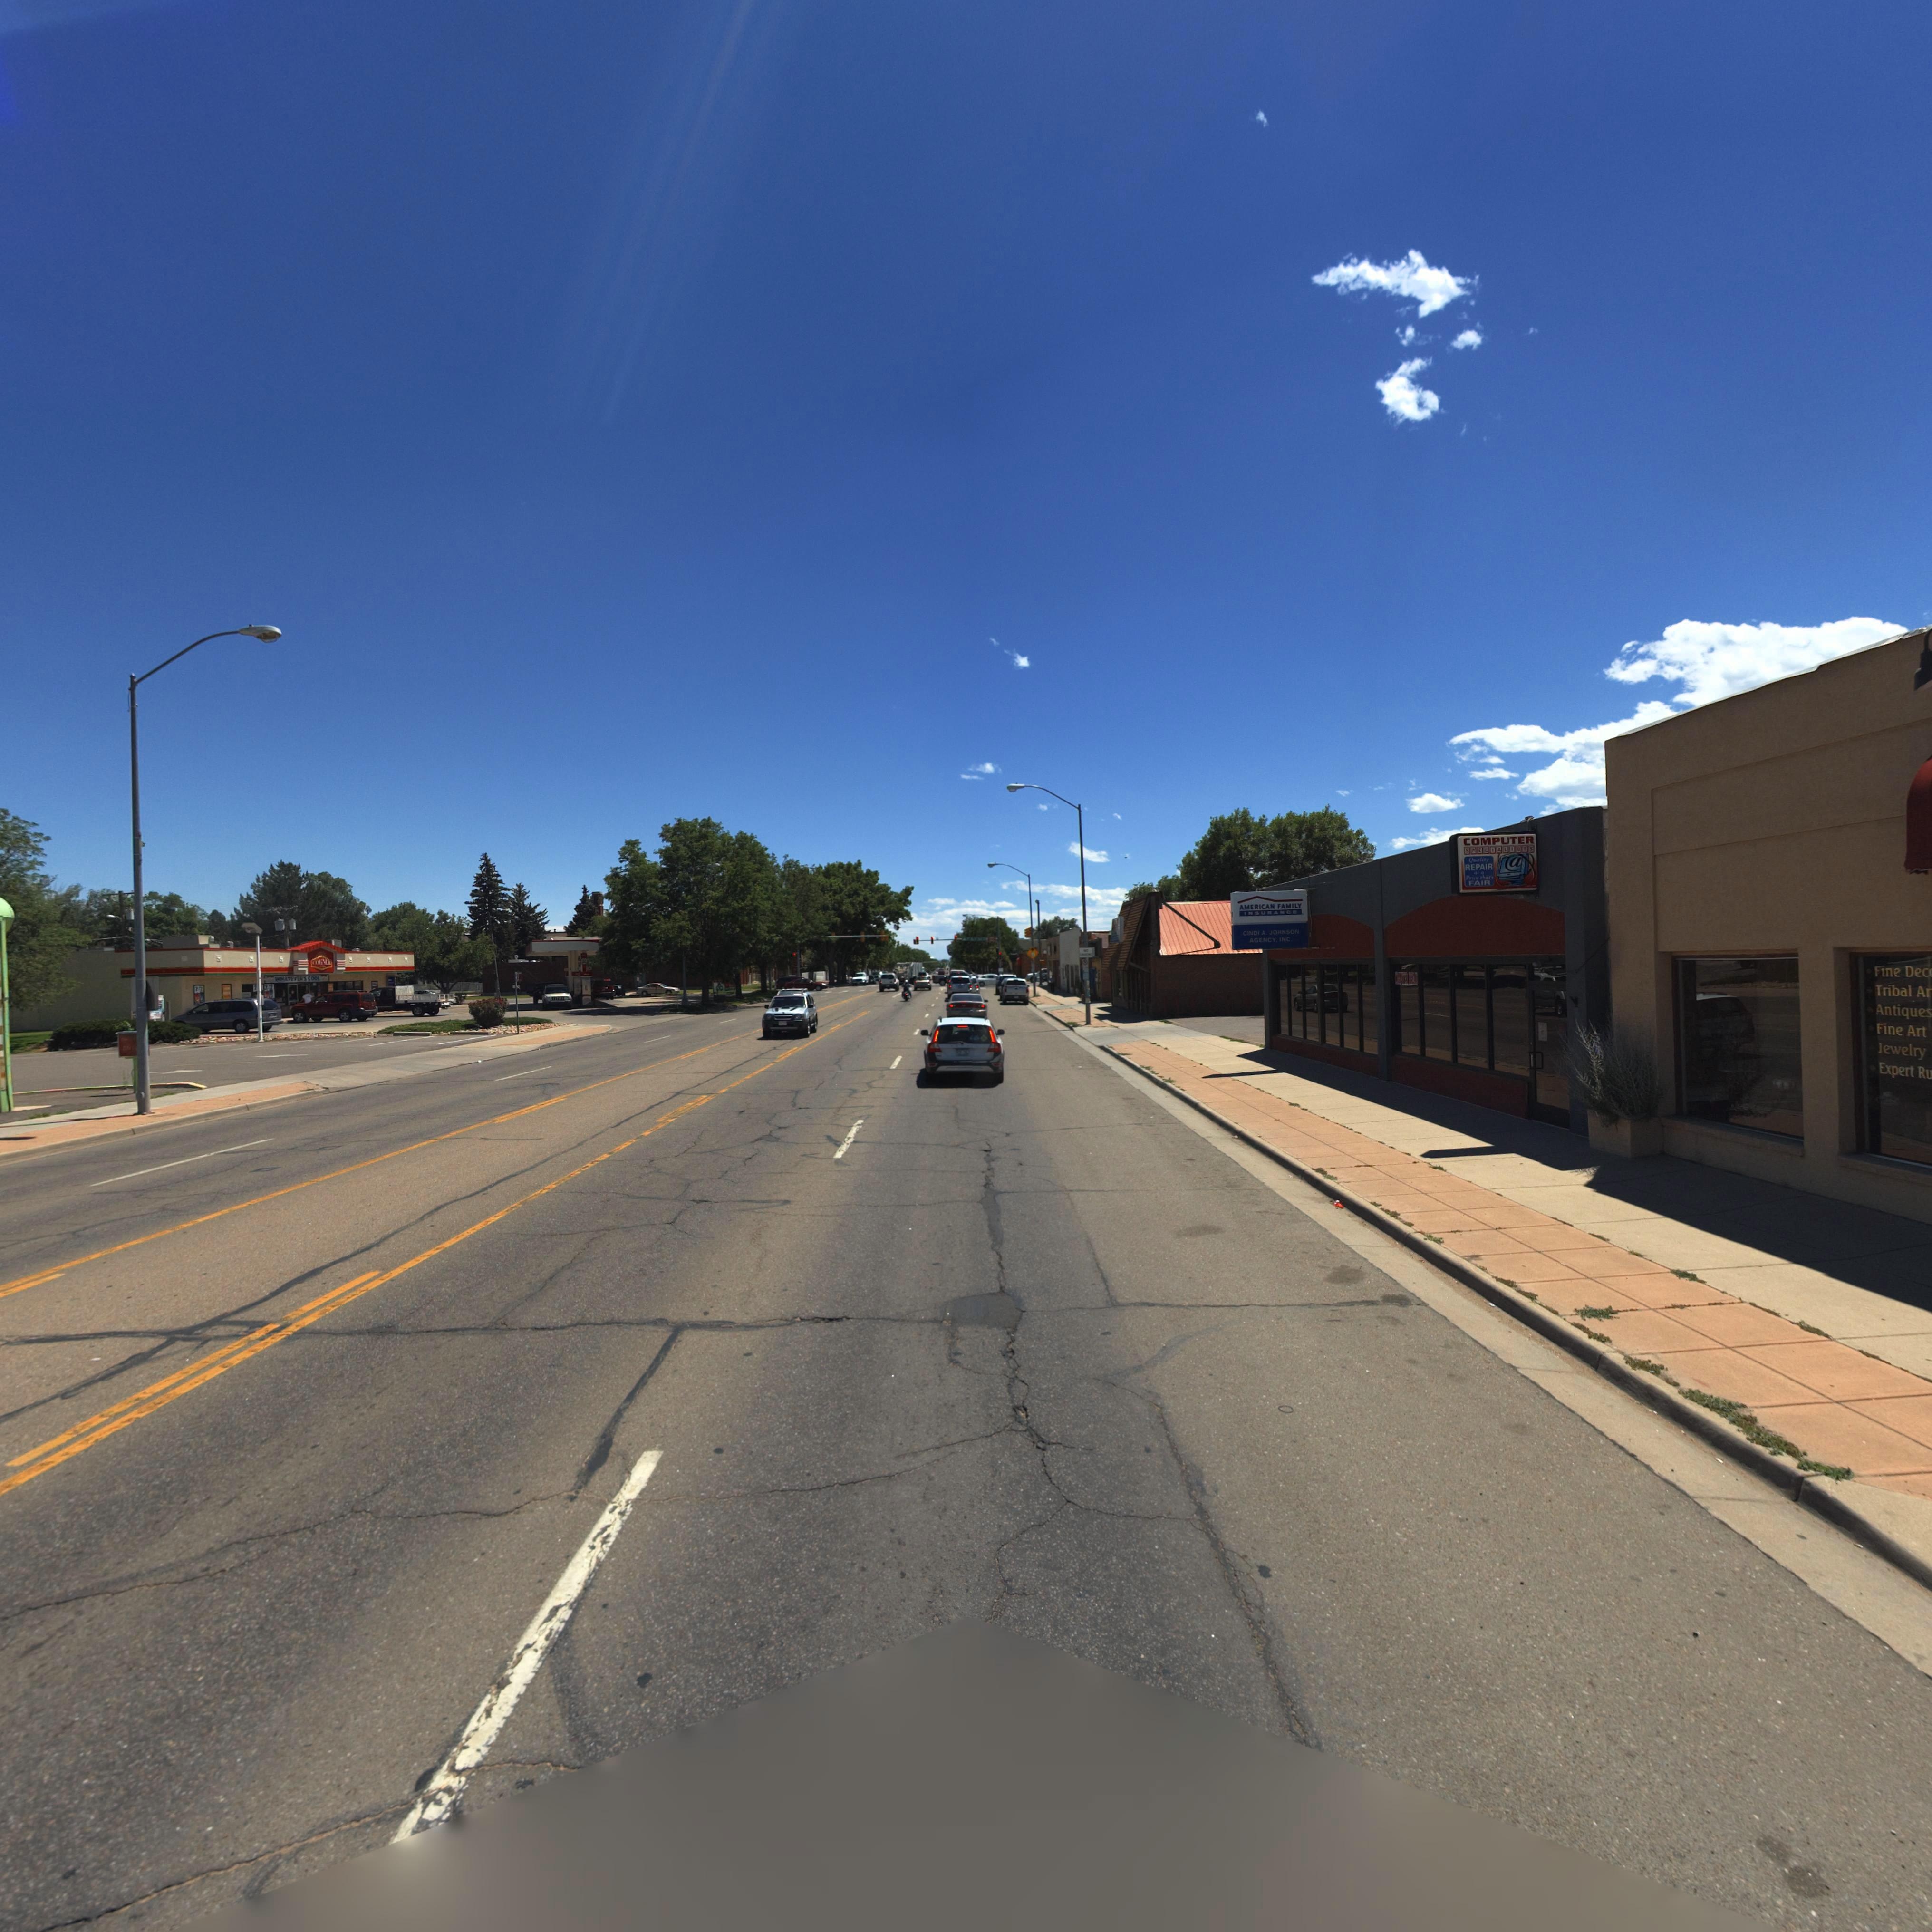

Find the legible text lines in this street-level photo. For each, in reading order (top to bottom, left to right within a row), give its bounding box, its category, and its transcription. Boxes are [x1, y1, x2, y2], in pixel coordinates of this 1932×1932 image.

[1239, 903, 1302, 909] BusinessName: AMERICAN FAMILY
[1244, 909, 1297, 915] BusinessName: INSURANCE
[312, 958, 332, 965] BusinessName: CO***R